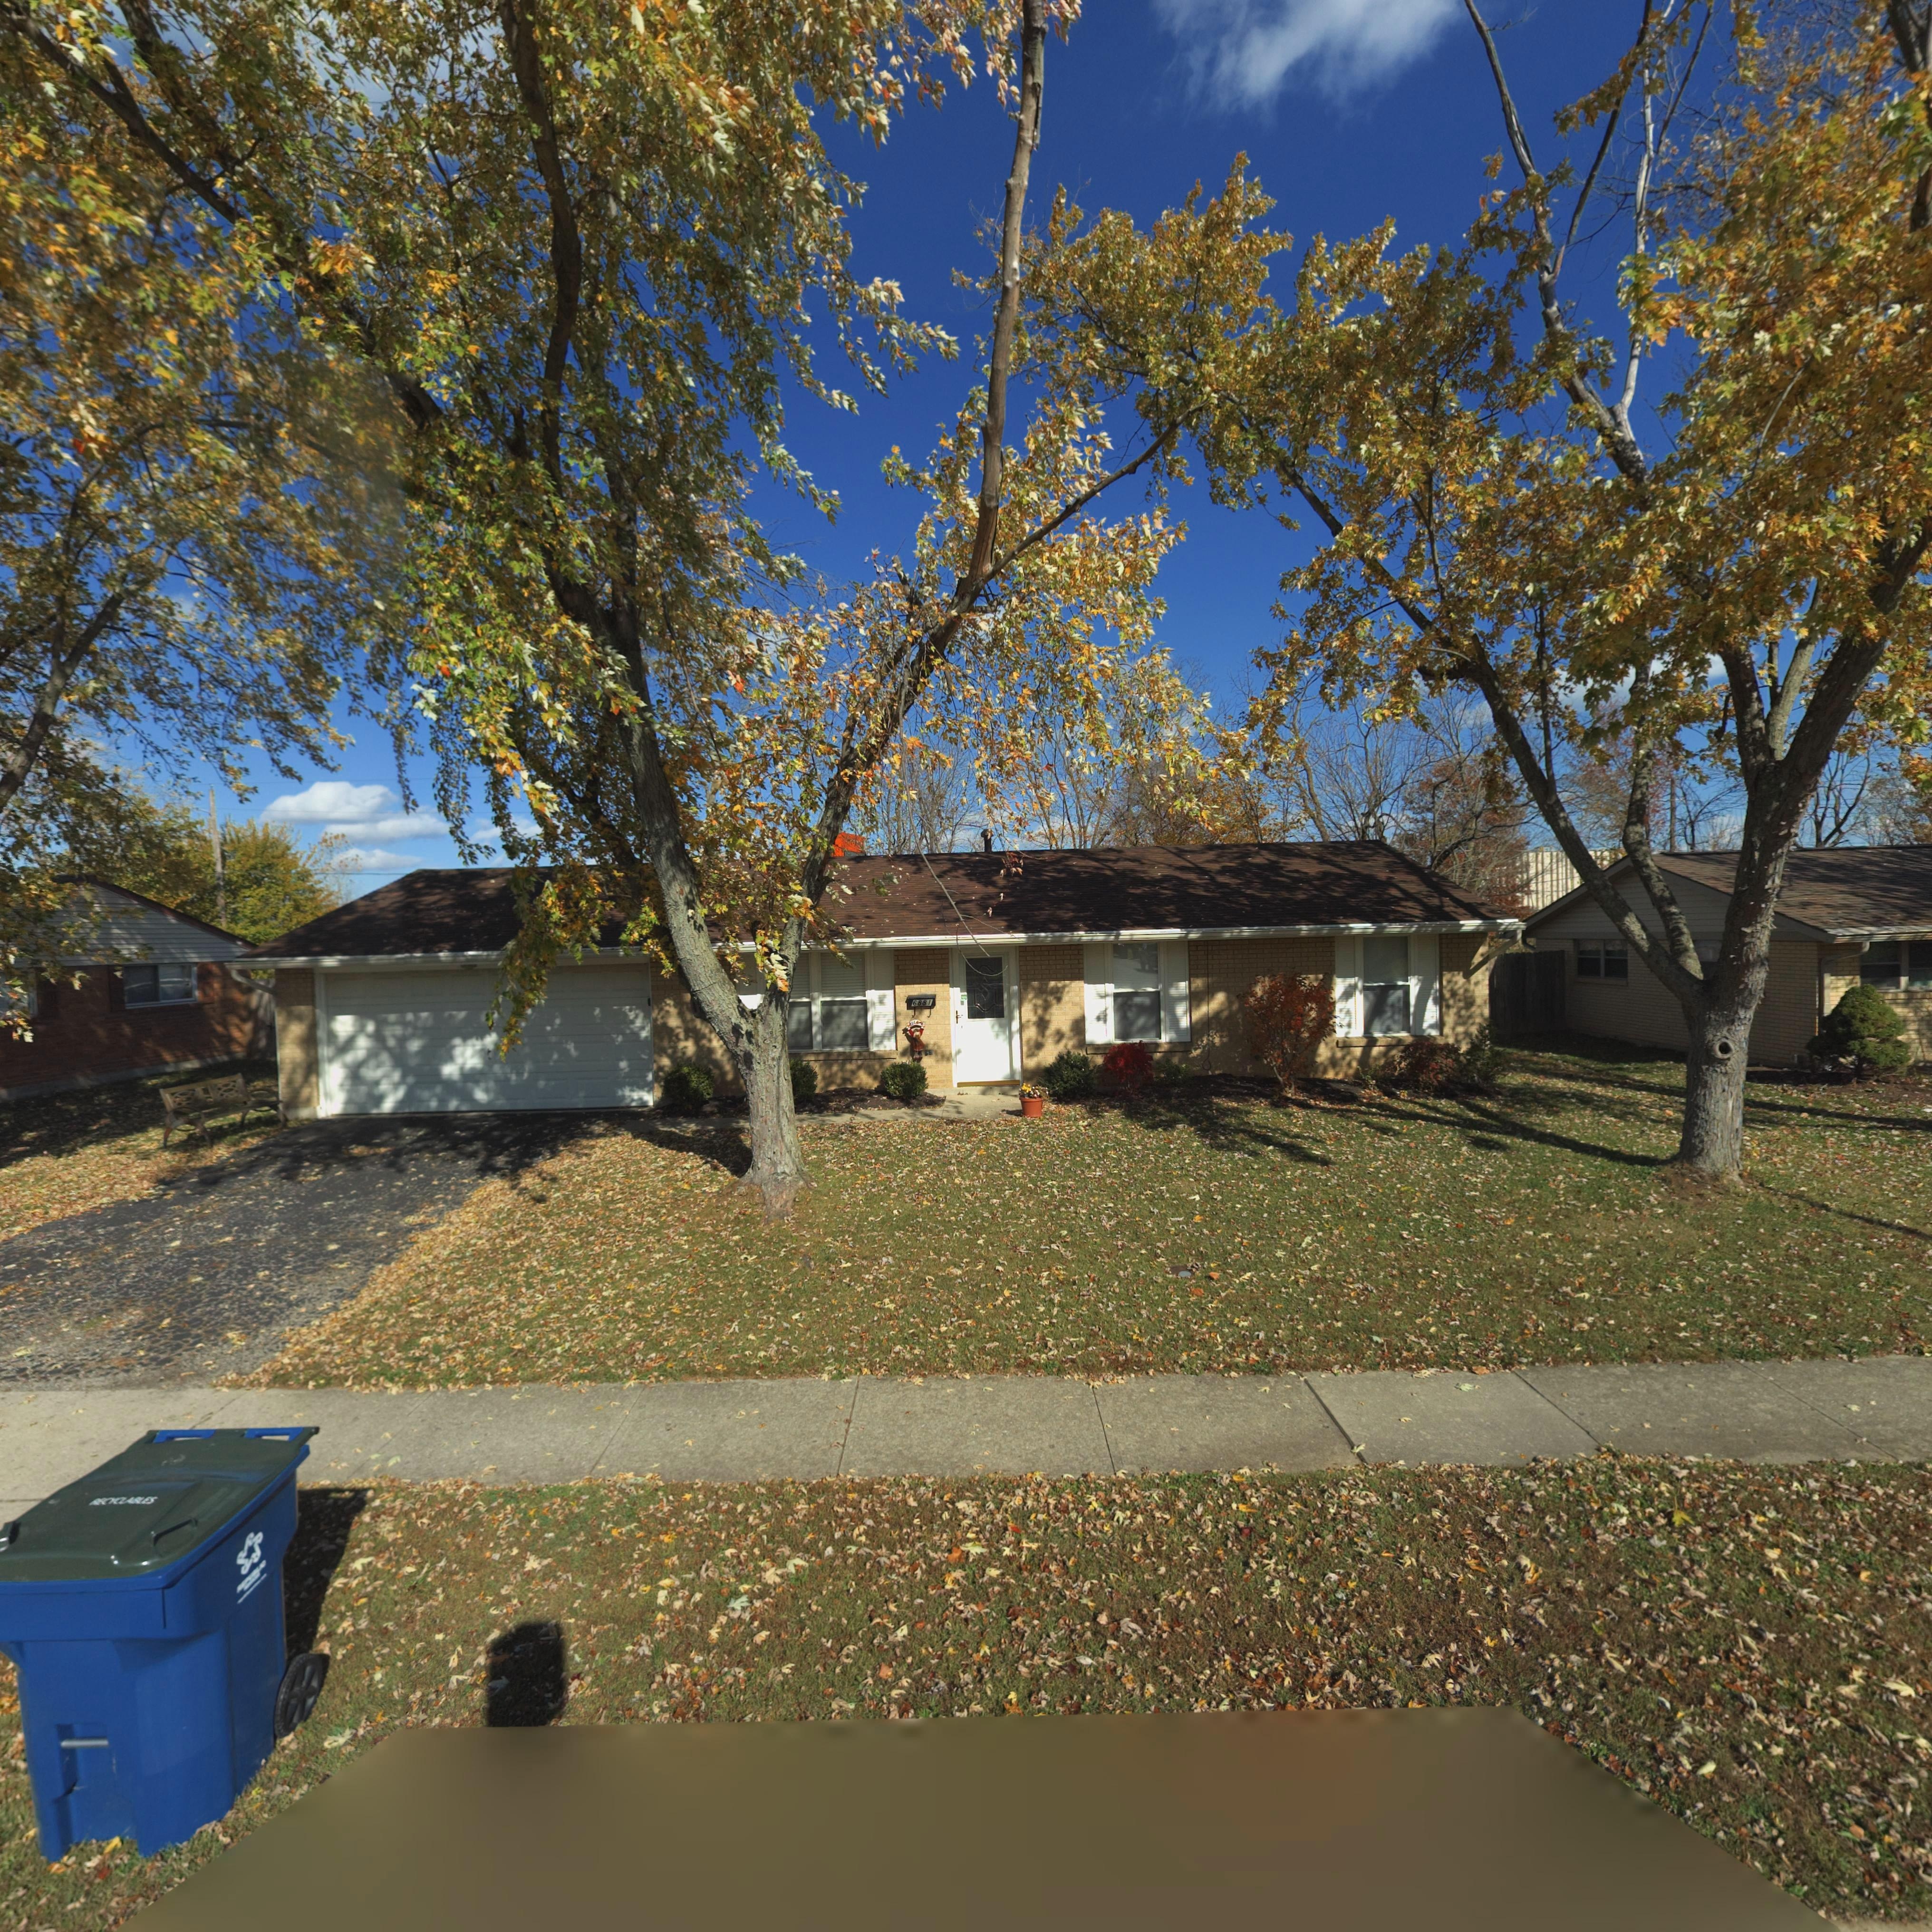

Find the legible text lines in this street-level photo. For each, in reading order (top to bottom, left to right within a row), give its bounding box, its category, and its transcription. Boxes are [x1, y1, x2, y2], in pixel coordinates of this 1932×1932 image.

[912, 999, 932, 1007] StreetNumber: 6881